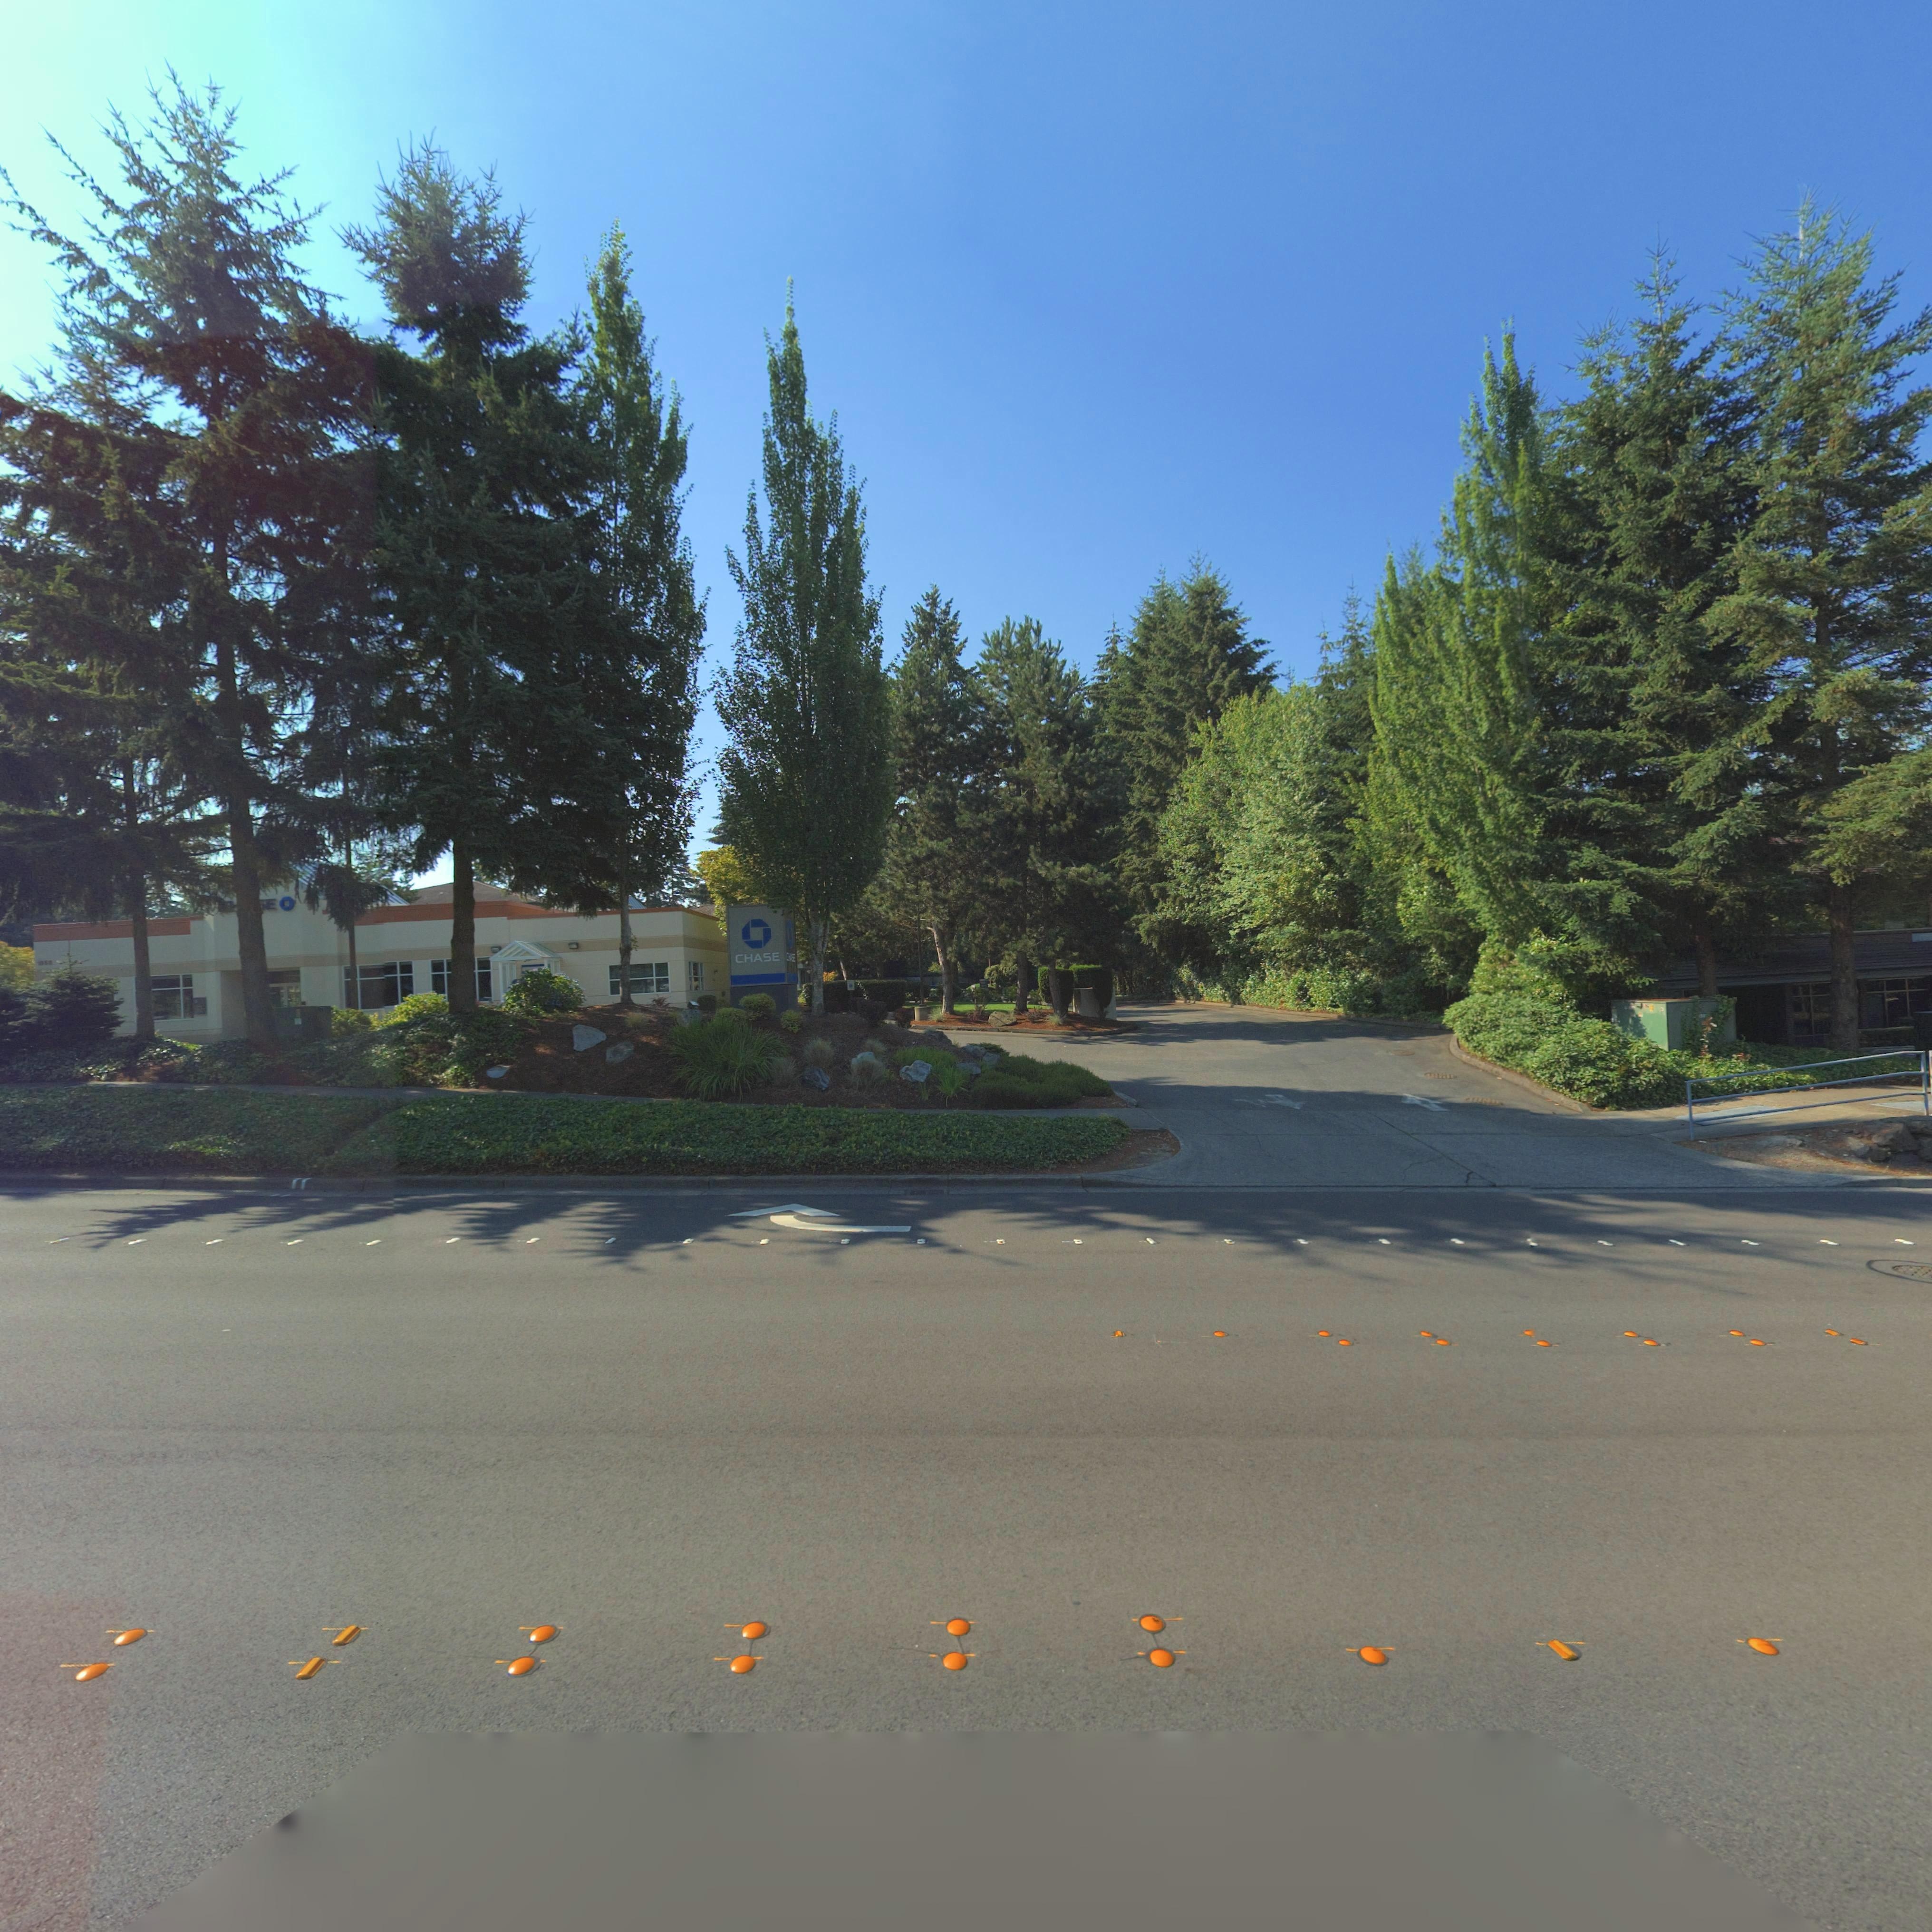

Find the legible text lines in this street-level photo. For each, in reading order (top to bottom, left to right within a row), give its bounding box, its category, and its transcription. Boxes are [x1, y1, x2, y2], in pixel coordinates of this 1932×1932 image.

[218, 898, 277, 913] BusinessName: ****E
[735, 952, 780, 963] BusinessName: CHASE